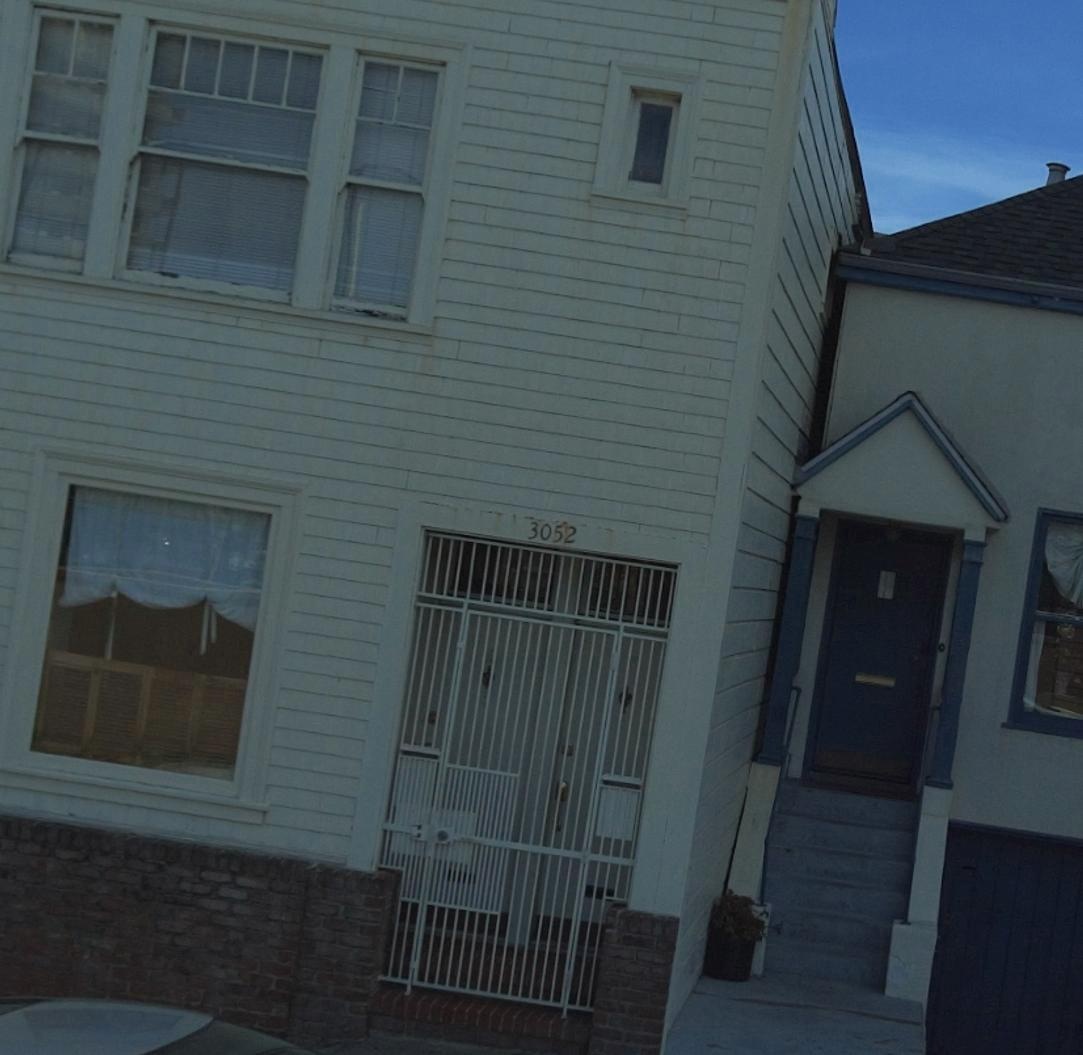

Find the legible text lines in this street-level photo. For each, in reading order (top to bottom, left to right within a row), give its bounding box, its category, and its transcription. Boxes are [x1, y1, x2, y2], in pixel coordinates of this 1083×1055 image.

[526, 519, 579, 545] StreetNumber: 3052